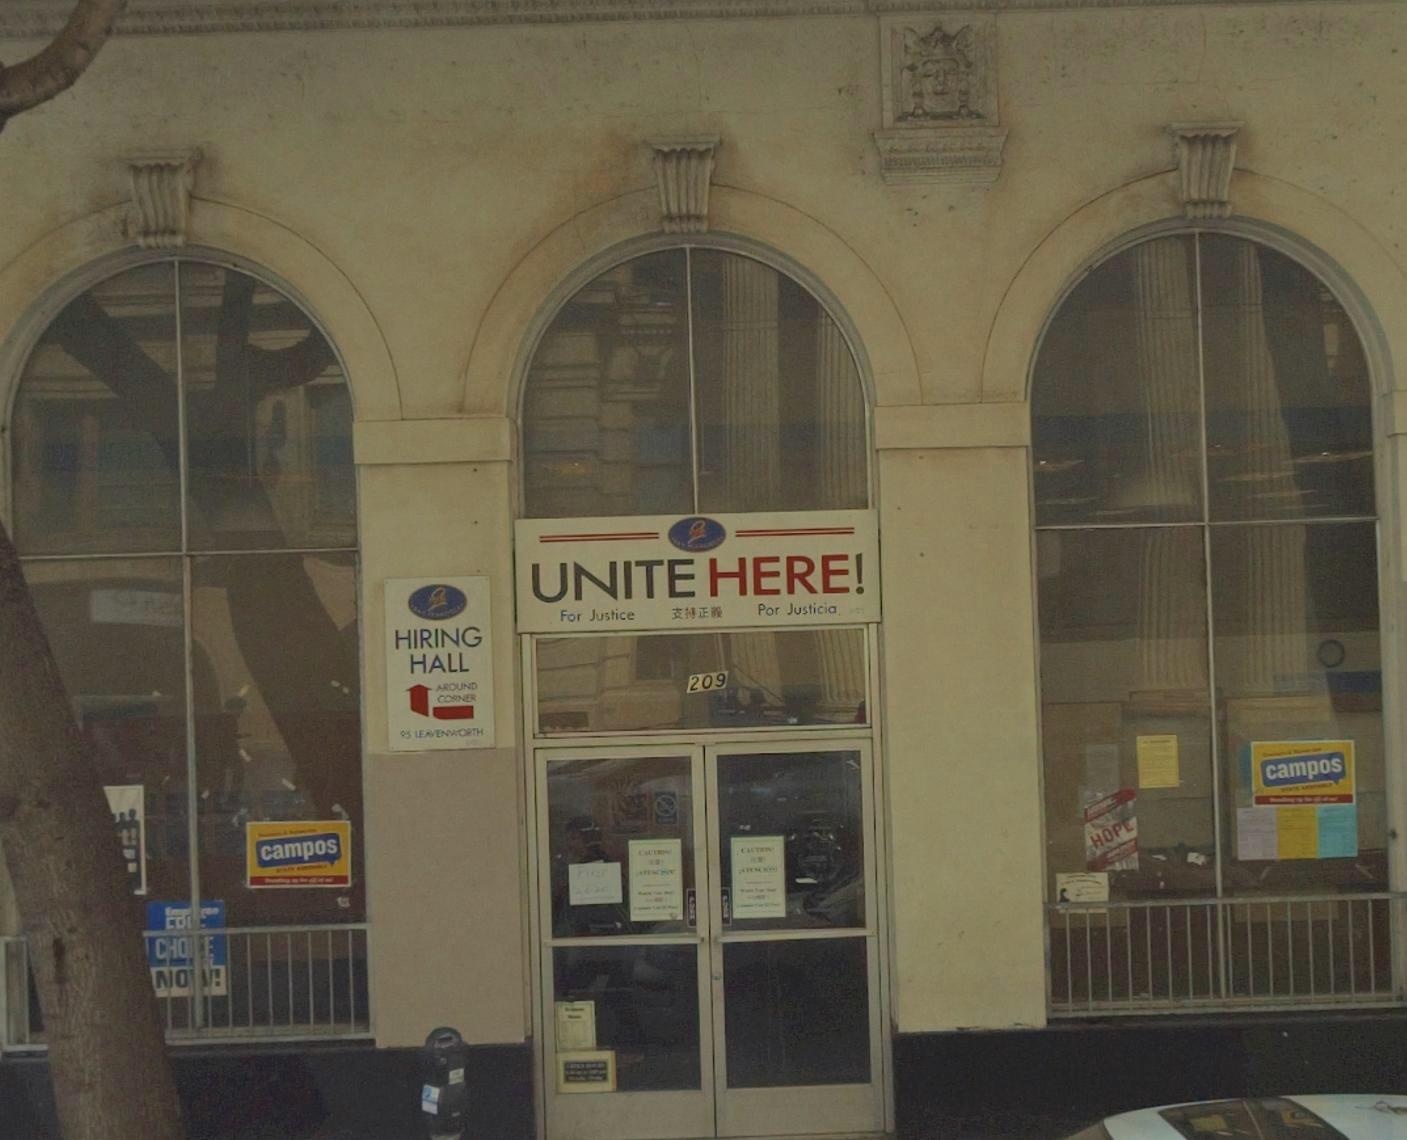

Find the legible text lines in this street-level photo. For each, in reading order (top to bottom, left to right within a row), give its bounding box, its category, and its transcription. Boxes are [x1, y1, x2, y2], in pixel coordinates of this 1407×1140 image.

[529, 551, 866, 606] BusinessName: UNITE HERE!
[559, 606, 638, 623] None: For Justice
[755, 599, 840, 620] None: Por Justicia
[391, 625, 484, 652] None: HIRING
[406, 651, 472, 676] None: HALL
[433, 681, 480, 694] None: AROUND
[435, 691, 479, 706] None: CORNER
[686, 668, 730, 694] StreetNumber: 209
[396, 727, 413, 743] StreetNumber: 95
[411, 725, 487, 740] StreetName: LEAVENWORTH
[1255, 754, 1345, 785] None: campos
[1088, 812, 1138, 854] None: HOPE
[259, 837, 341, 865] None: campos
[150, 932, 219, 966] None: C*O***
[147, 963, 226, 993] None: NO*!